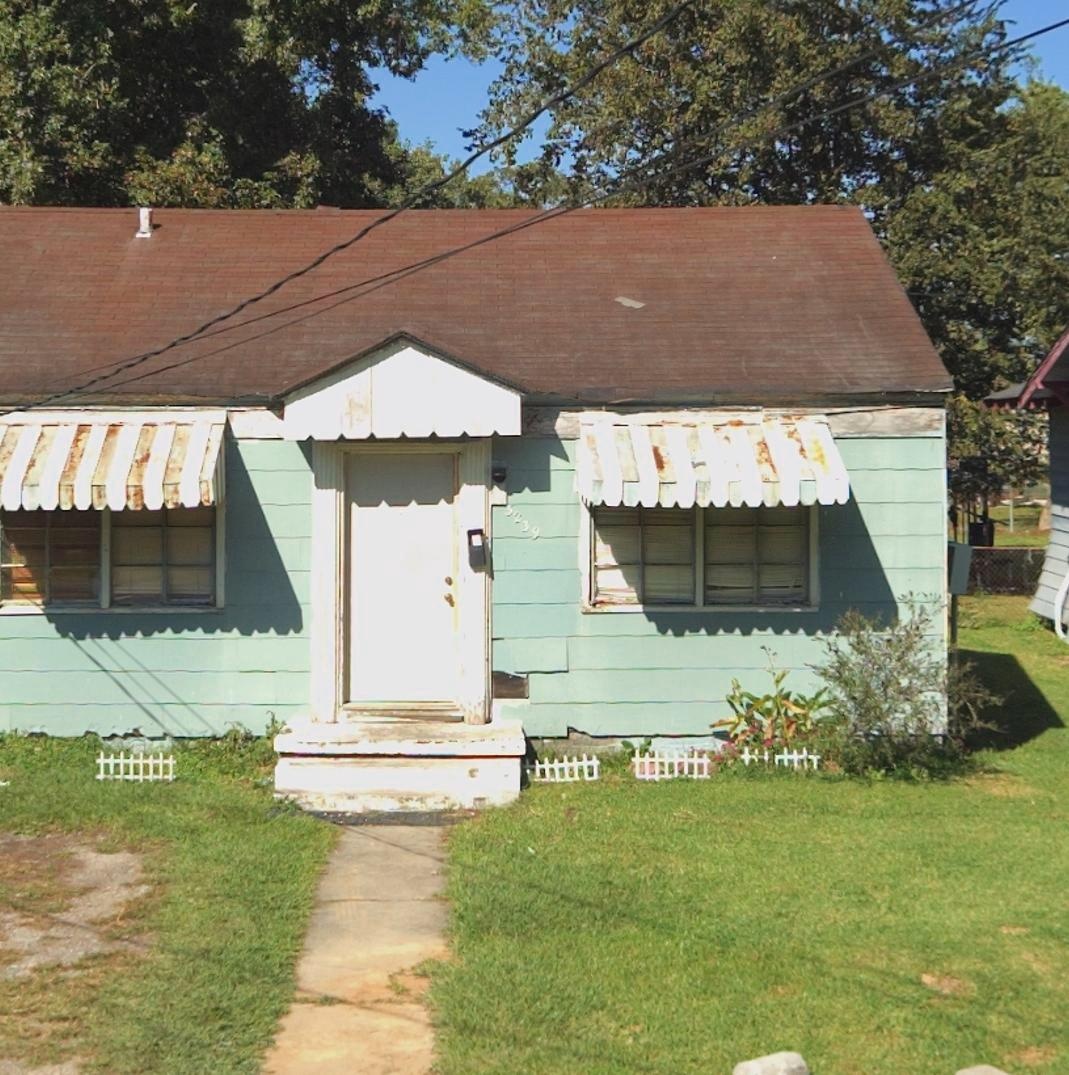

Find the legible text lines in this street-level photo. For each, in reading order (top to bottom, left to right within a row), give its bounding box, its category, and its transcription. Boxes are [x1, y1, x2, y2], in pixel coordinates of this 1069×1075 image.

[505, 504, 542, 542] StreetNumber: 3239